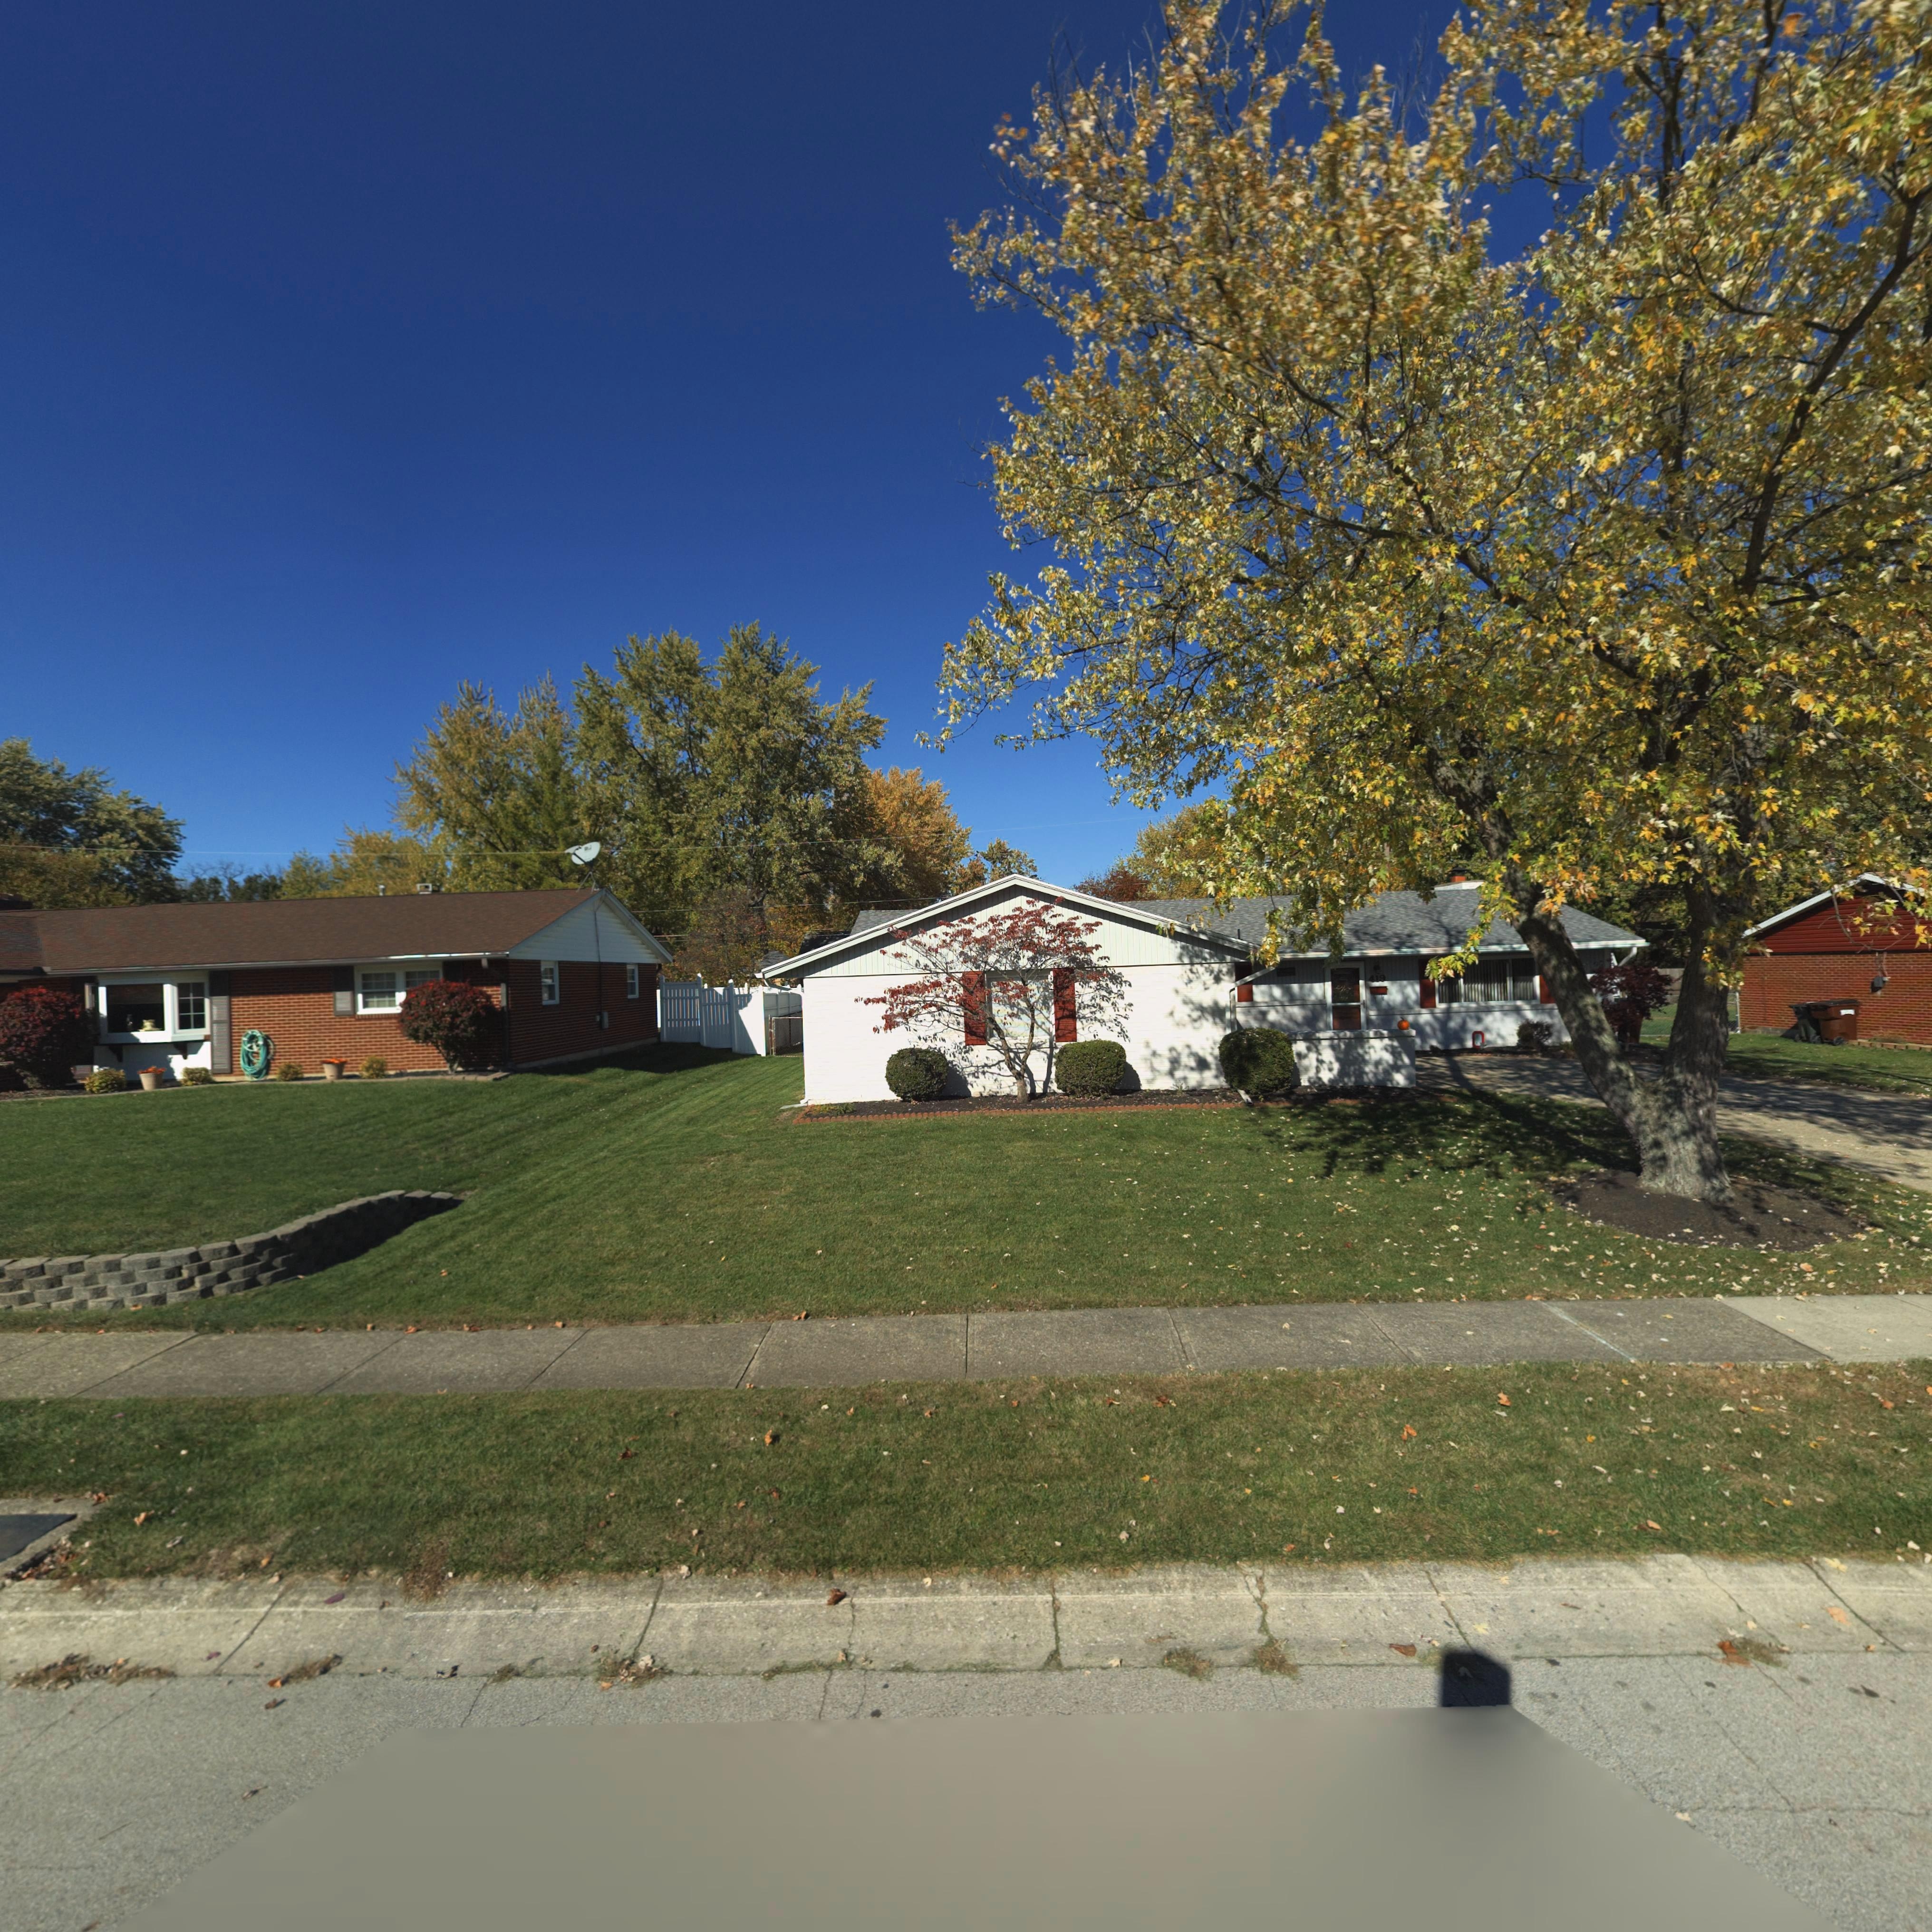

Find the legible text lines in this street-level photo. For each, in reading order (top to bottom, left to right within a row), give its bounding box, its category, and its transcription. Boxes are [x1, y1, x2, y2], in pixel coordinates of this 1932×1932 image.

[1366, 973, 1387, 984] StreetNumber: 419